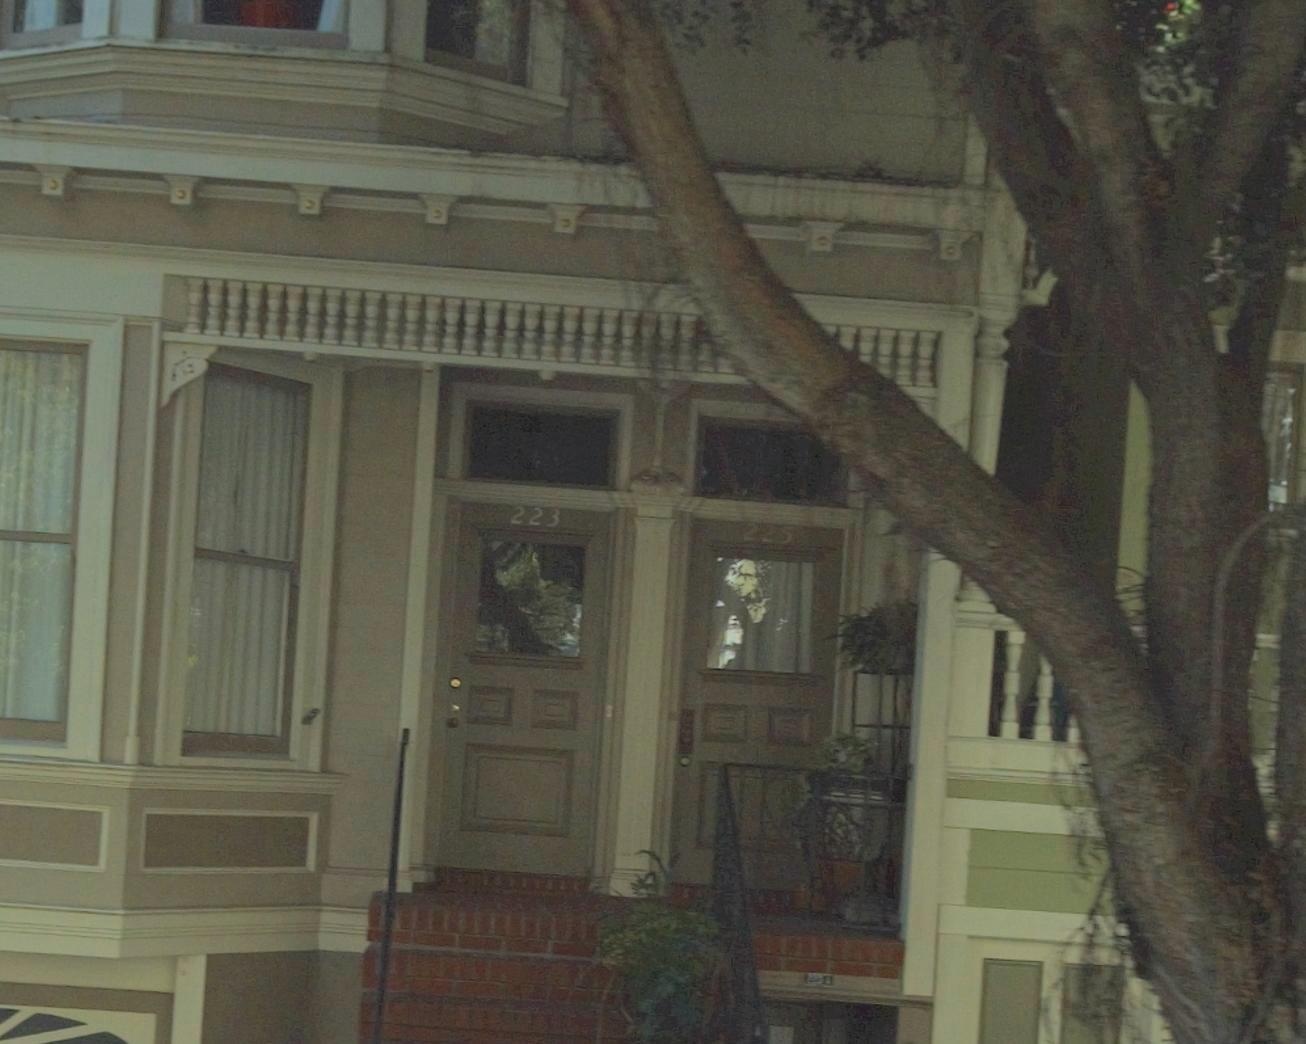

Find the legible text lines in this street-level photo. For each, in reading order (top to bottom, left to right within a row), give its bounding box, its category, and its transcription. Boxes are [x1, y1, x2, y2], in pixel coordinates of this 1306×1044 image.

[510, 505, 562, 527] StreetNumber: 223
[741, 522, 795, 544] StreetNumber: 225